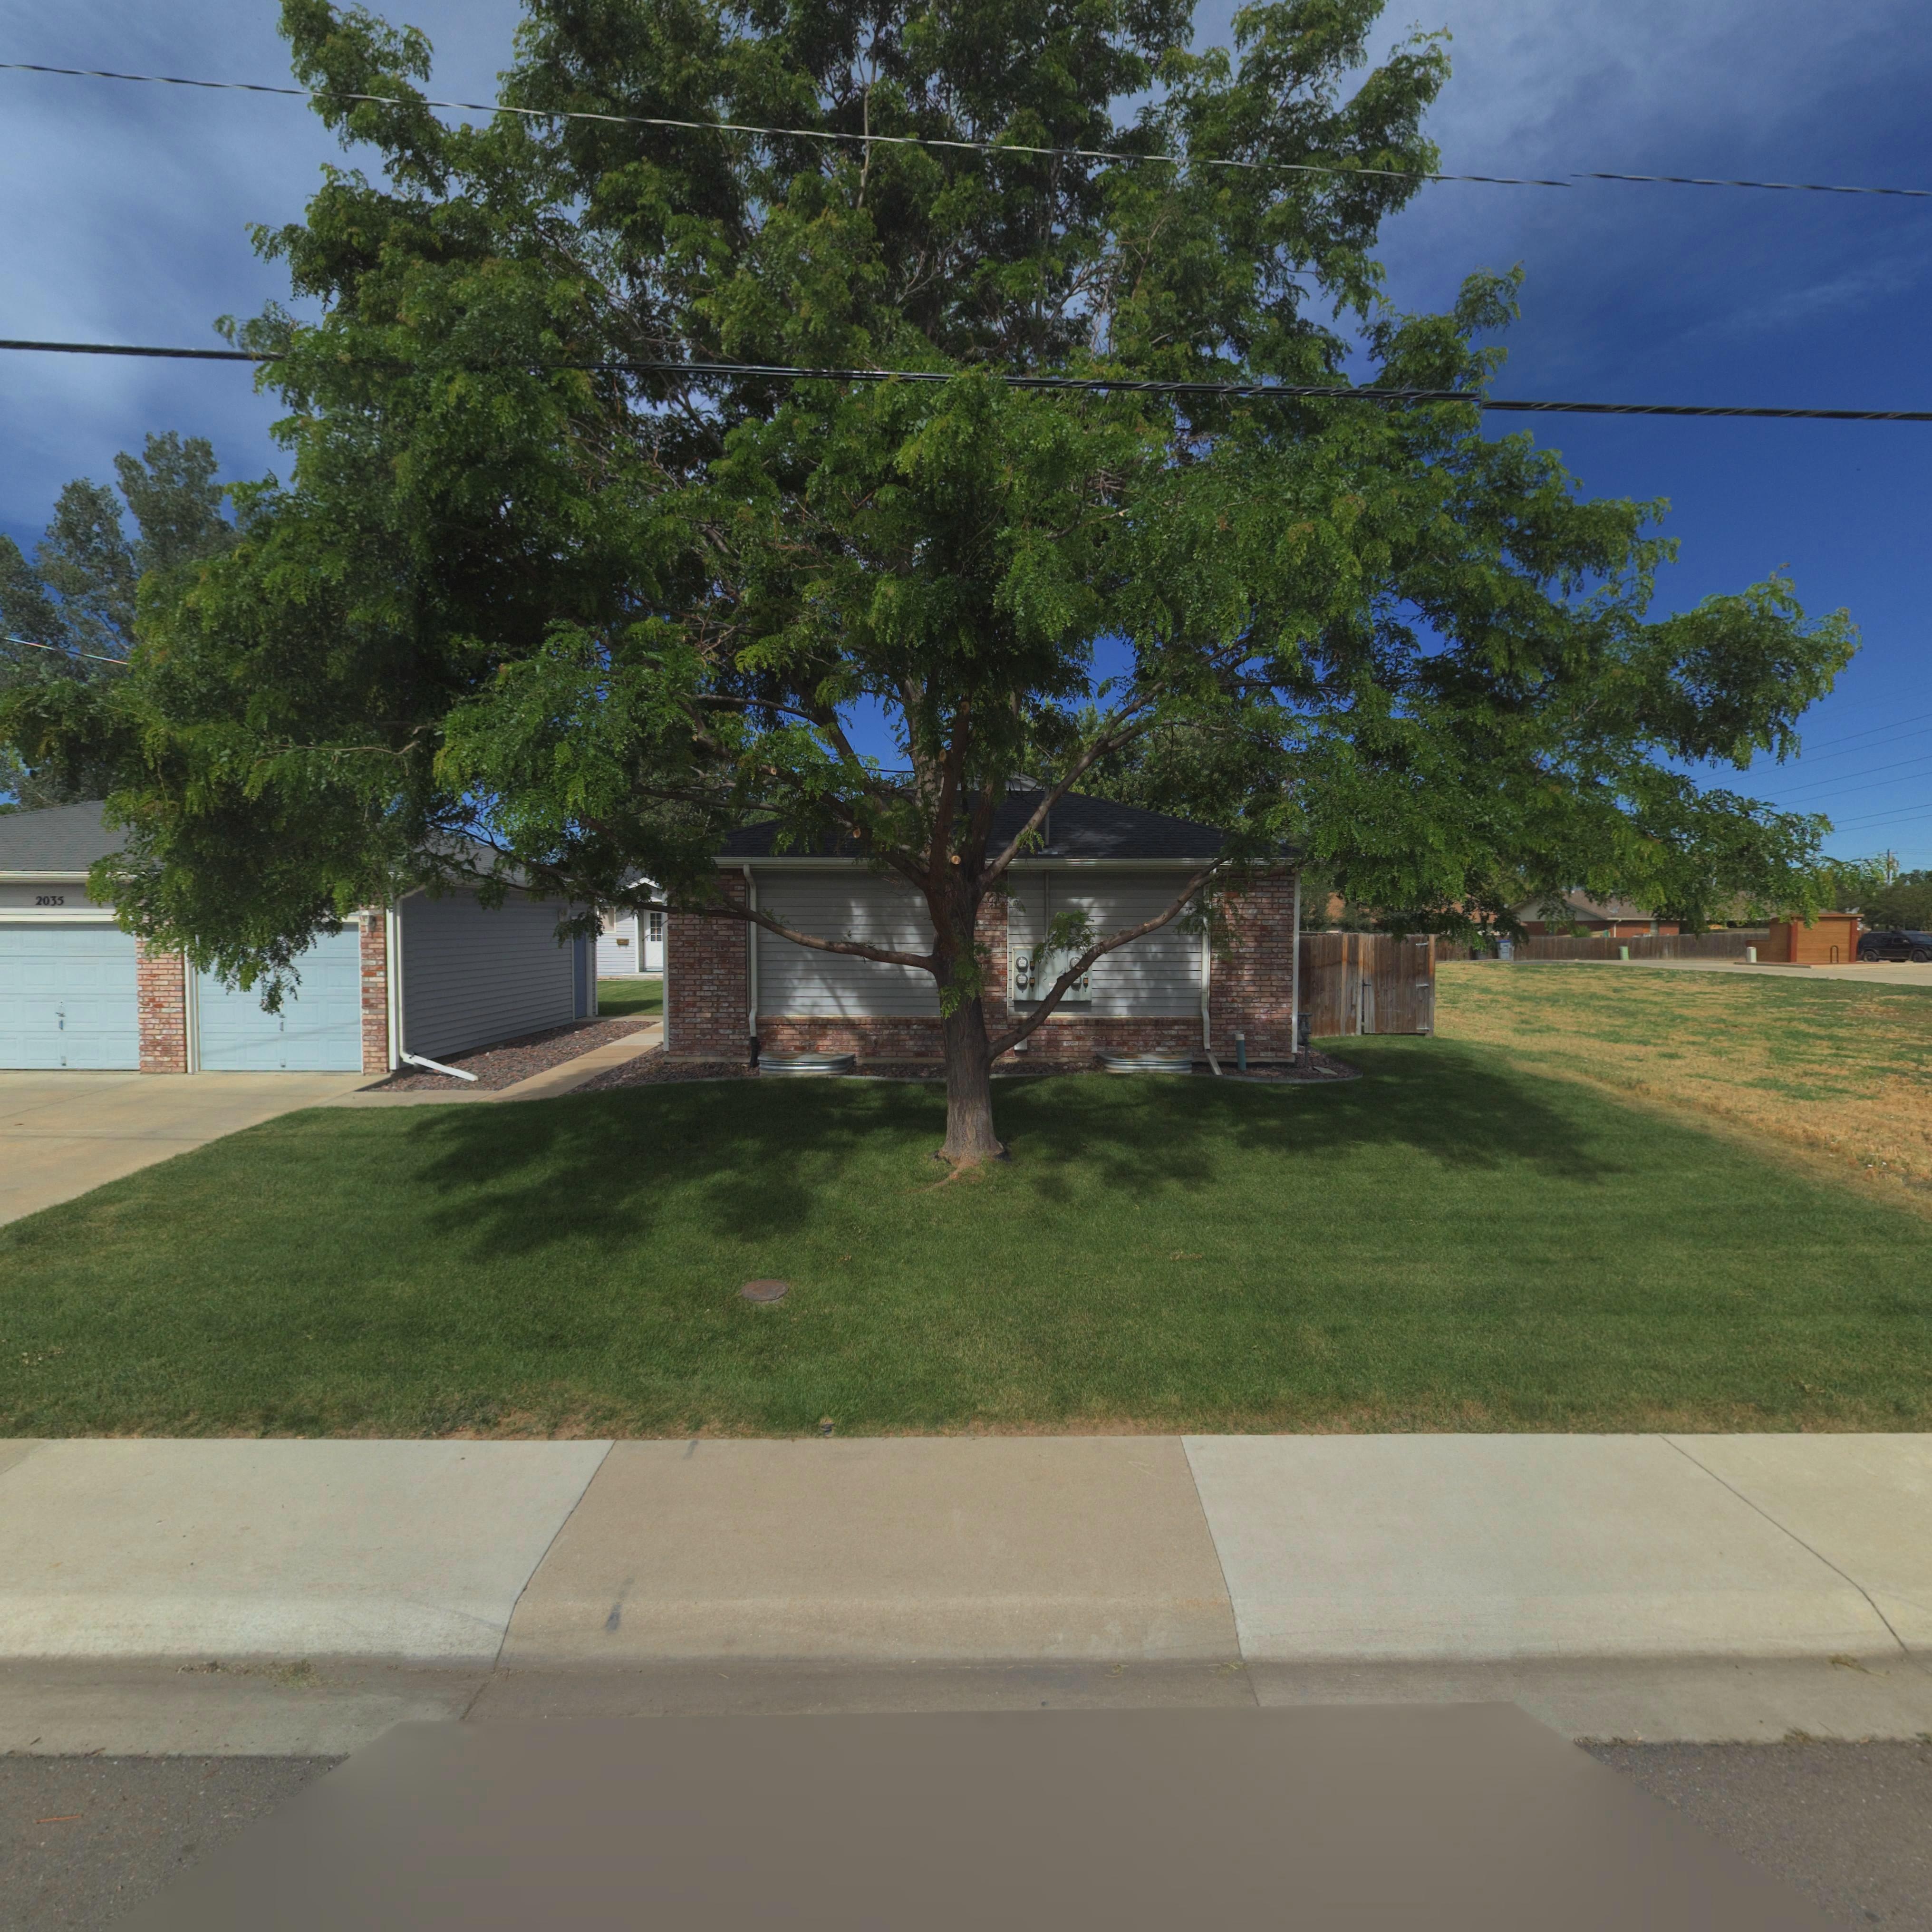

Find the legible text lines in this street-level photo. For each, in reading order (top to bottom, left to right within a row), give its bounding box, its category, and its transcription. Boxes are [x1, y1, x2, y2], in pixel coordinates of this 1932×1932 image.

[34, 895, 64, 906] StreetNumber: 2035